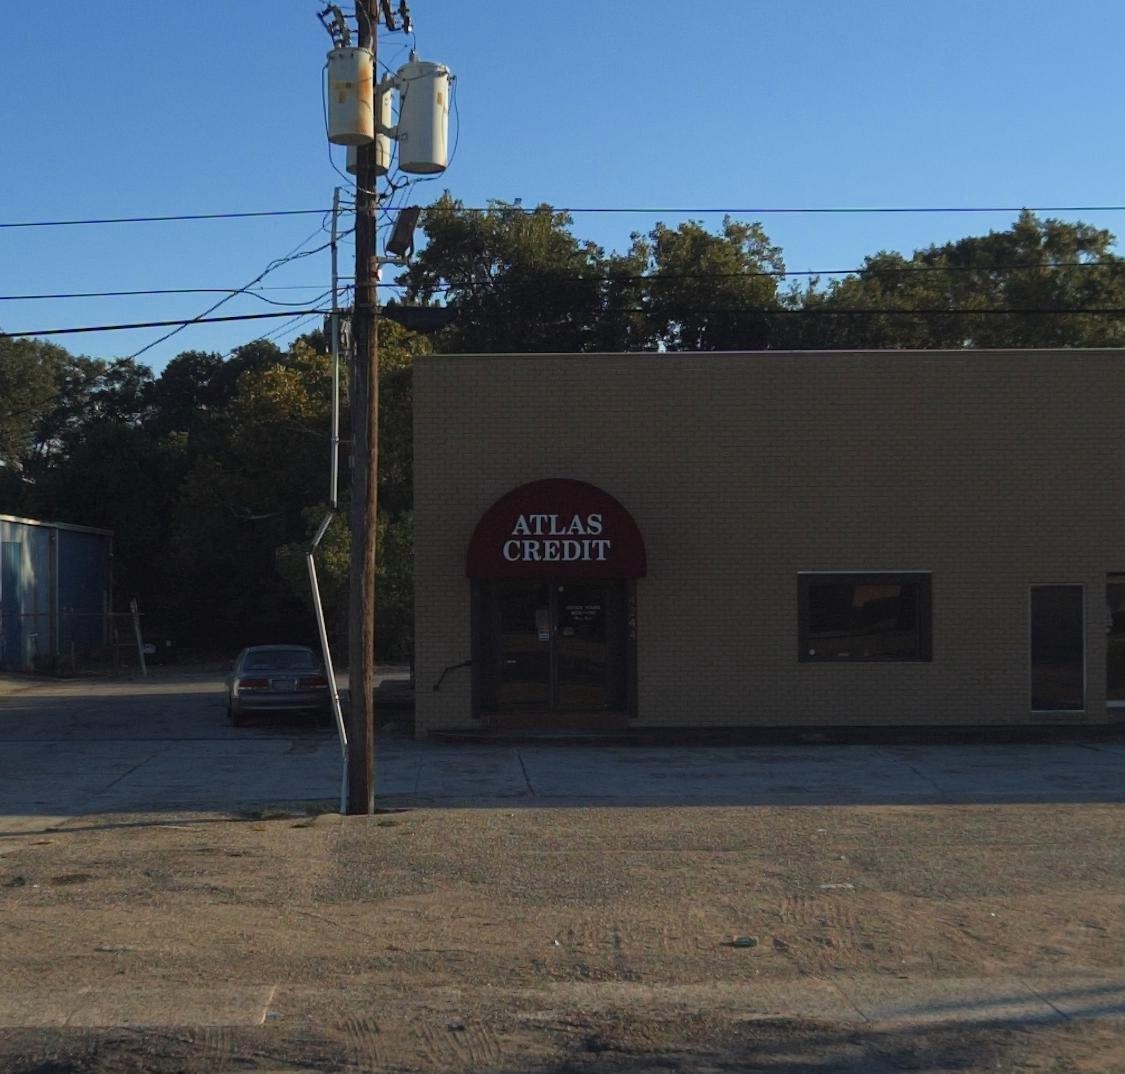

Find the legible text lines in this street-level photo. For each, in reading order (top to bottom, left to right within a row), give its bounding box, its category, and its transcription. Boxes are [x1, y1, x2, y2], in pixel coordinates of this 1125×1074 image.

[510, 512, 604, 537] BusinessName: ATLAS
[501, 538, 612, 563] BusinessName: CREDIT
[628, 594, 637, 641] StreetNumber: 4*44